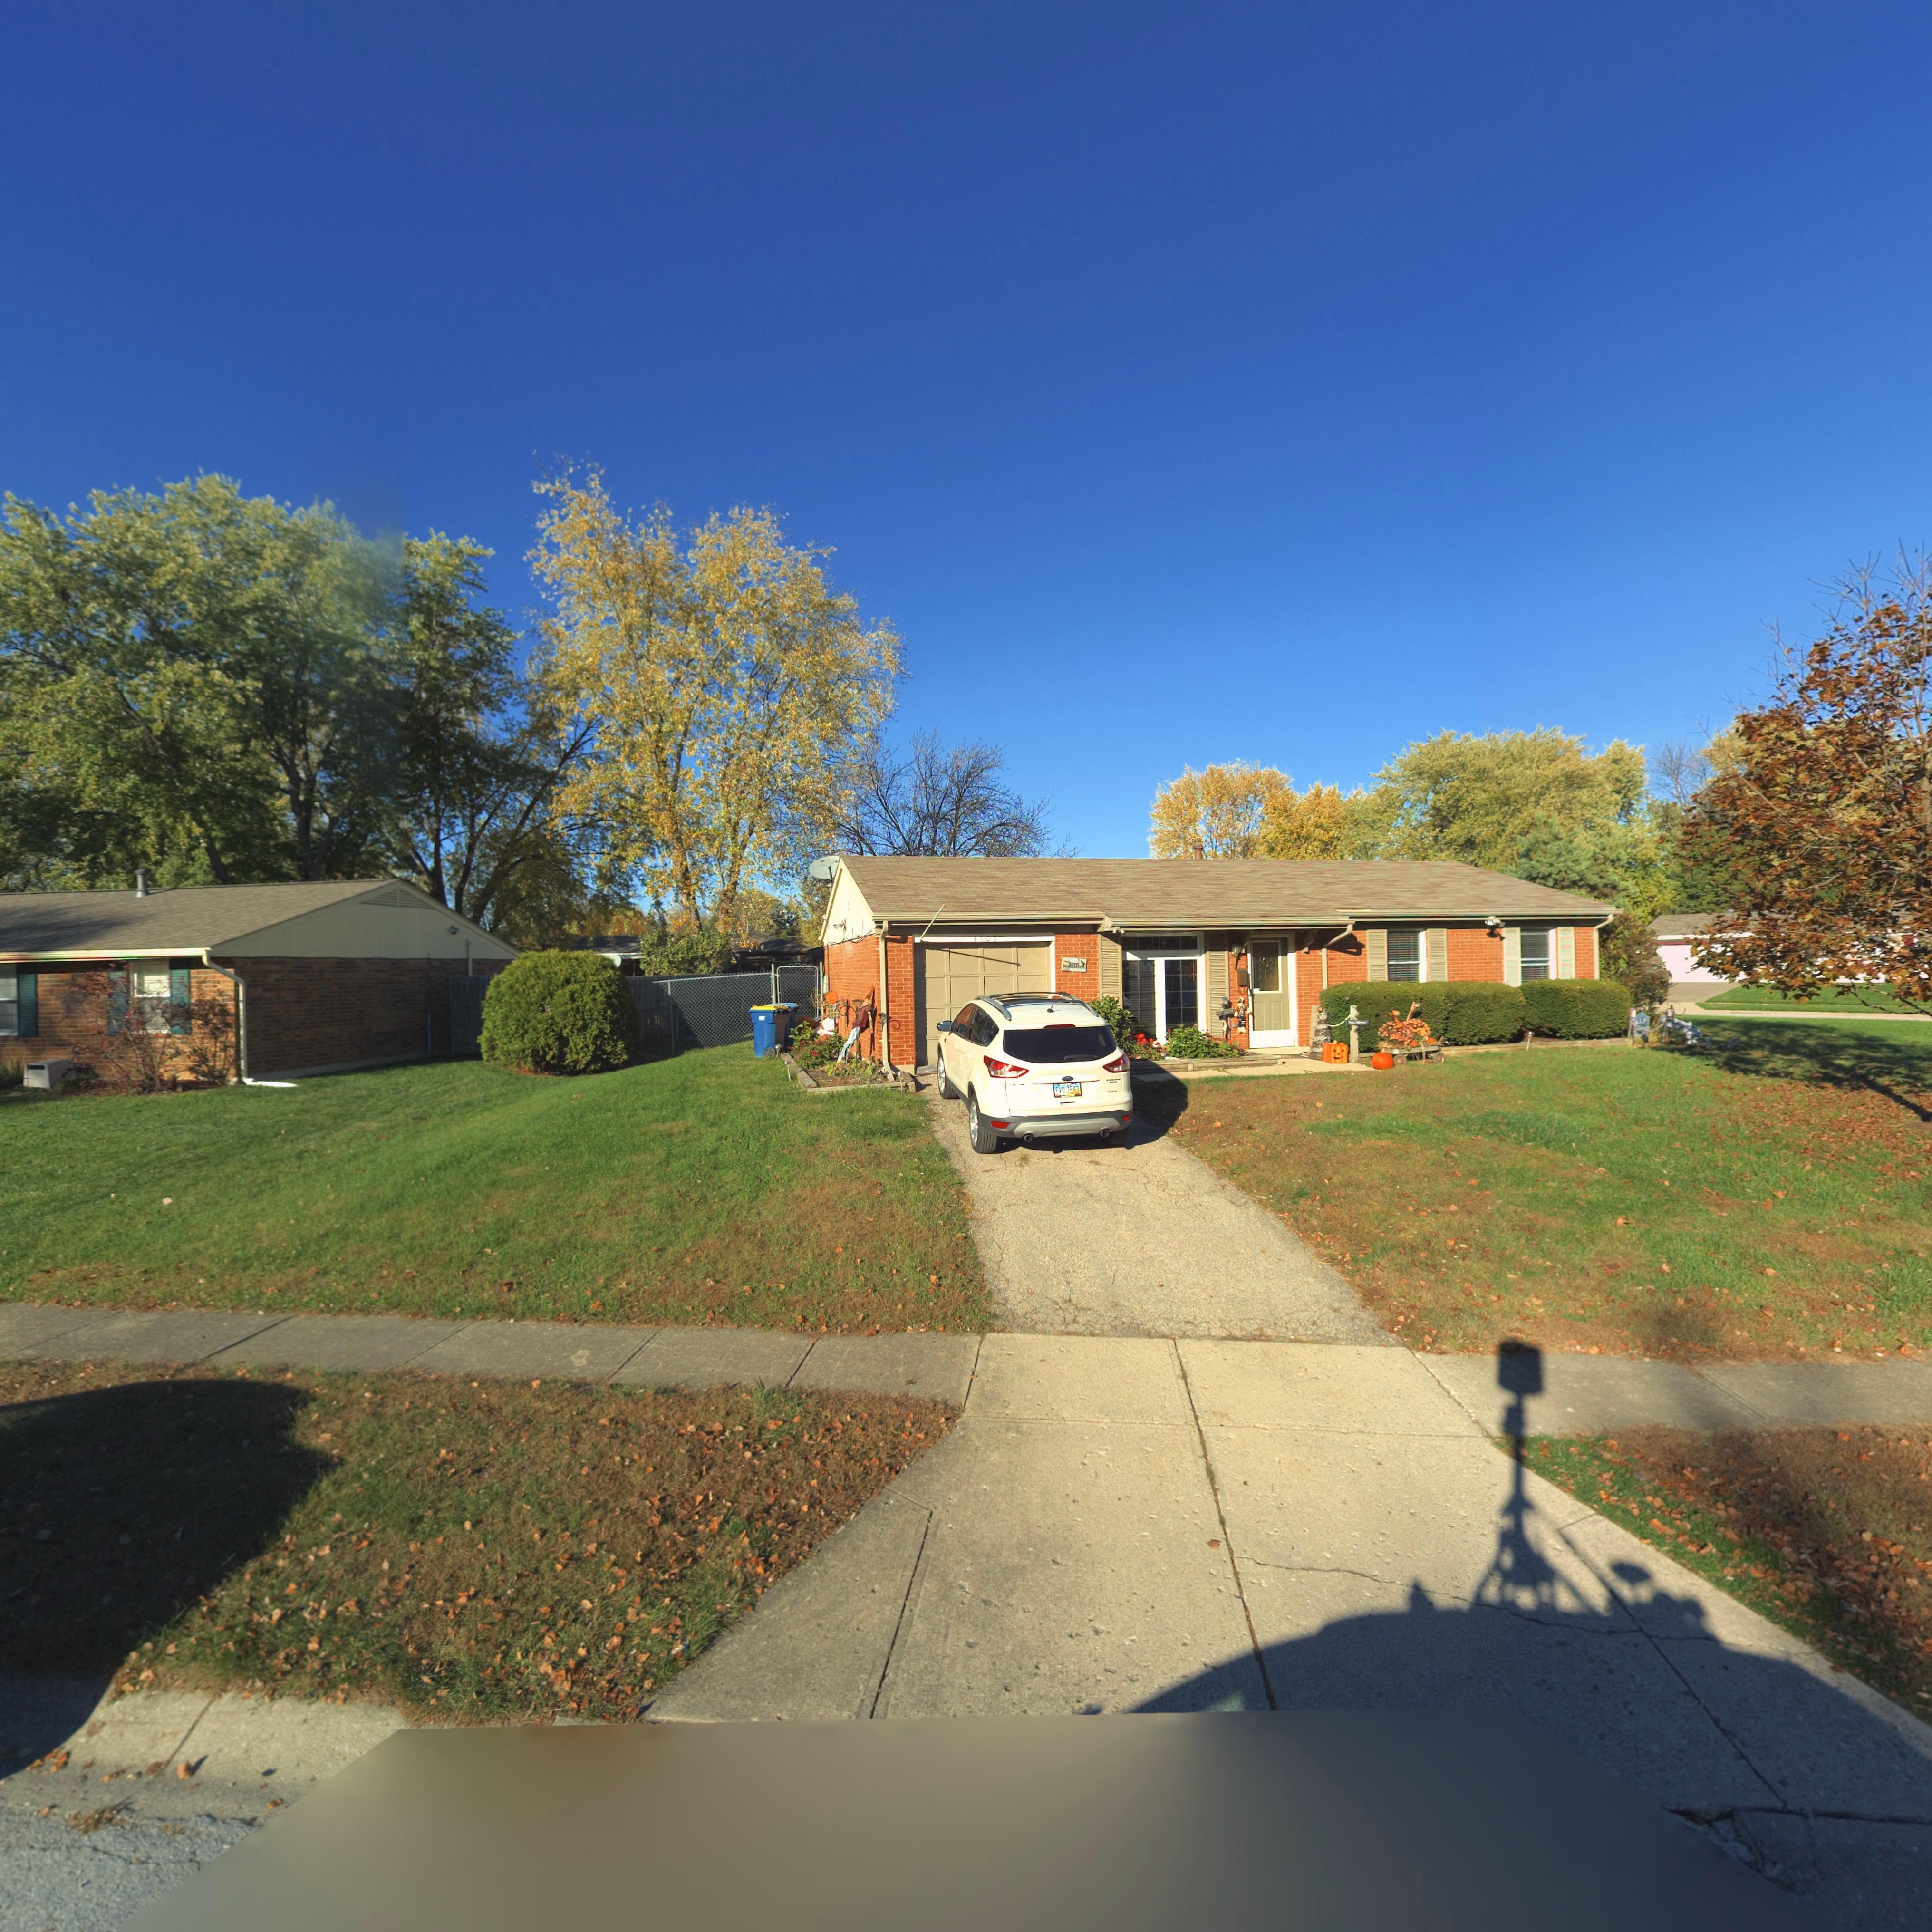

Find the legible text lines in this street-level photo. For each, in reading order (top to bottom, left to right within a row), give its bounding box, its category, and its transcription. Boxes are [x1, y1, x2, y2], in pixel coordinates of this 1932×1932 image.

[973, 935, 998, 942] StreetNumber: 4509